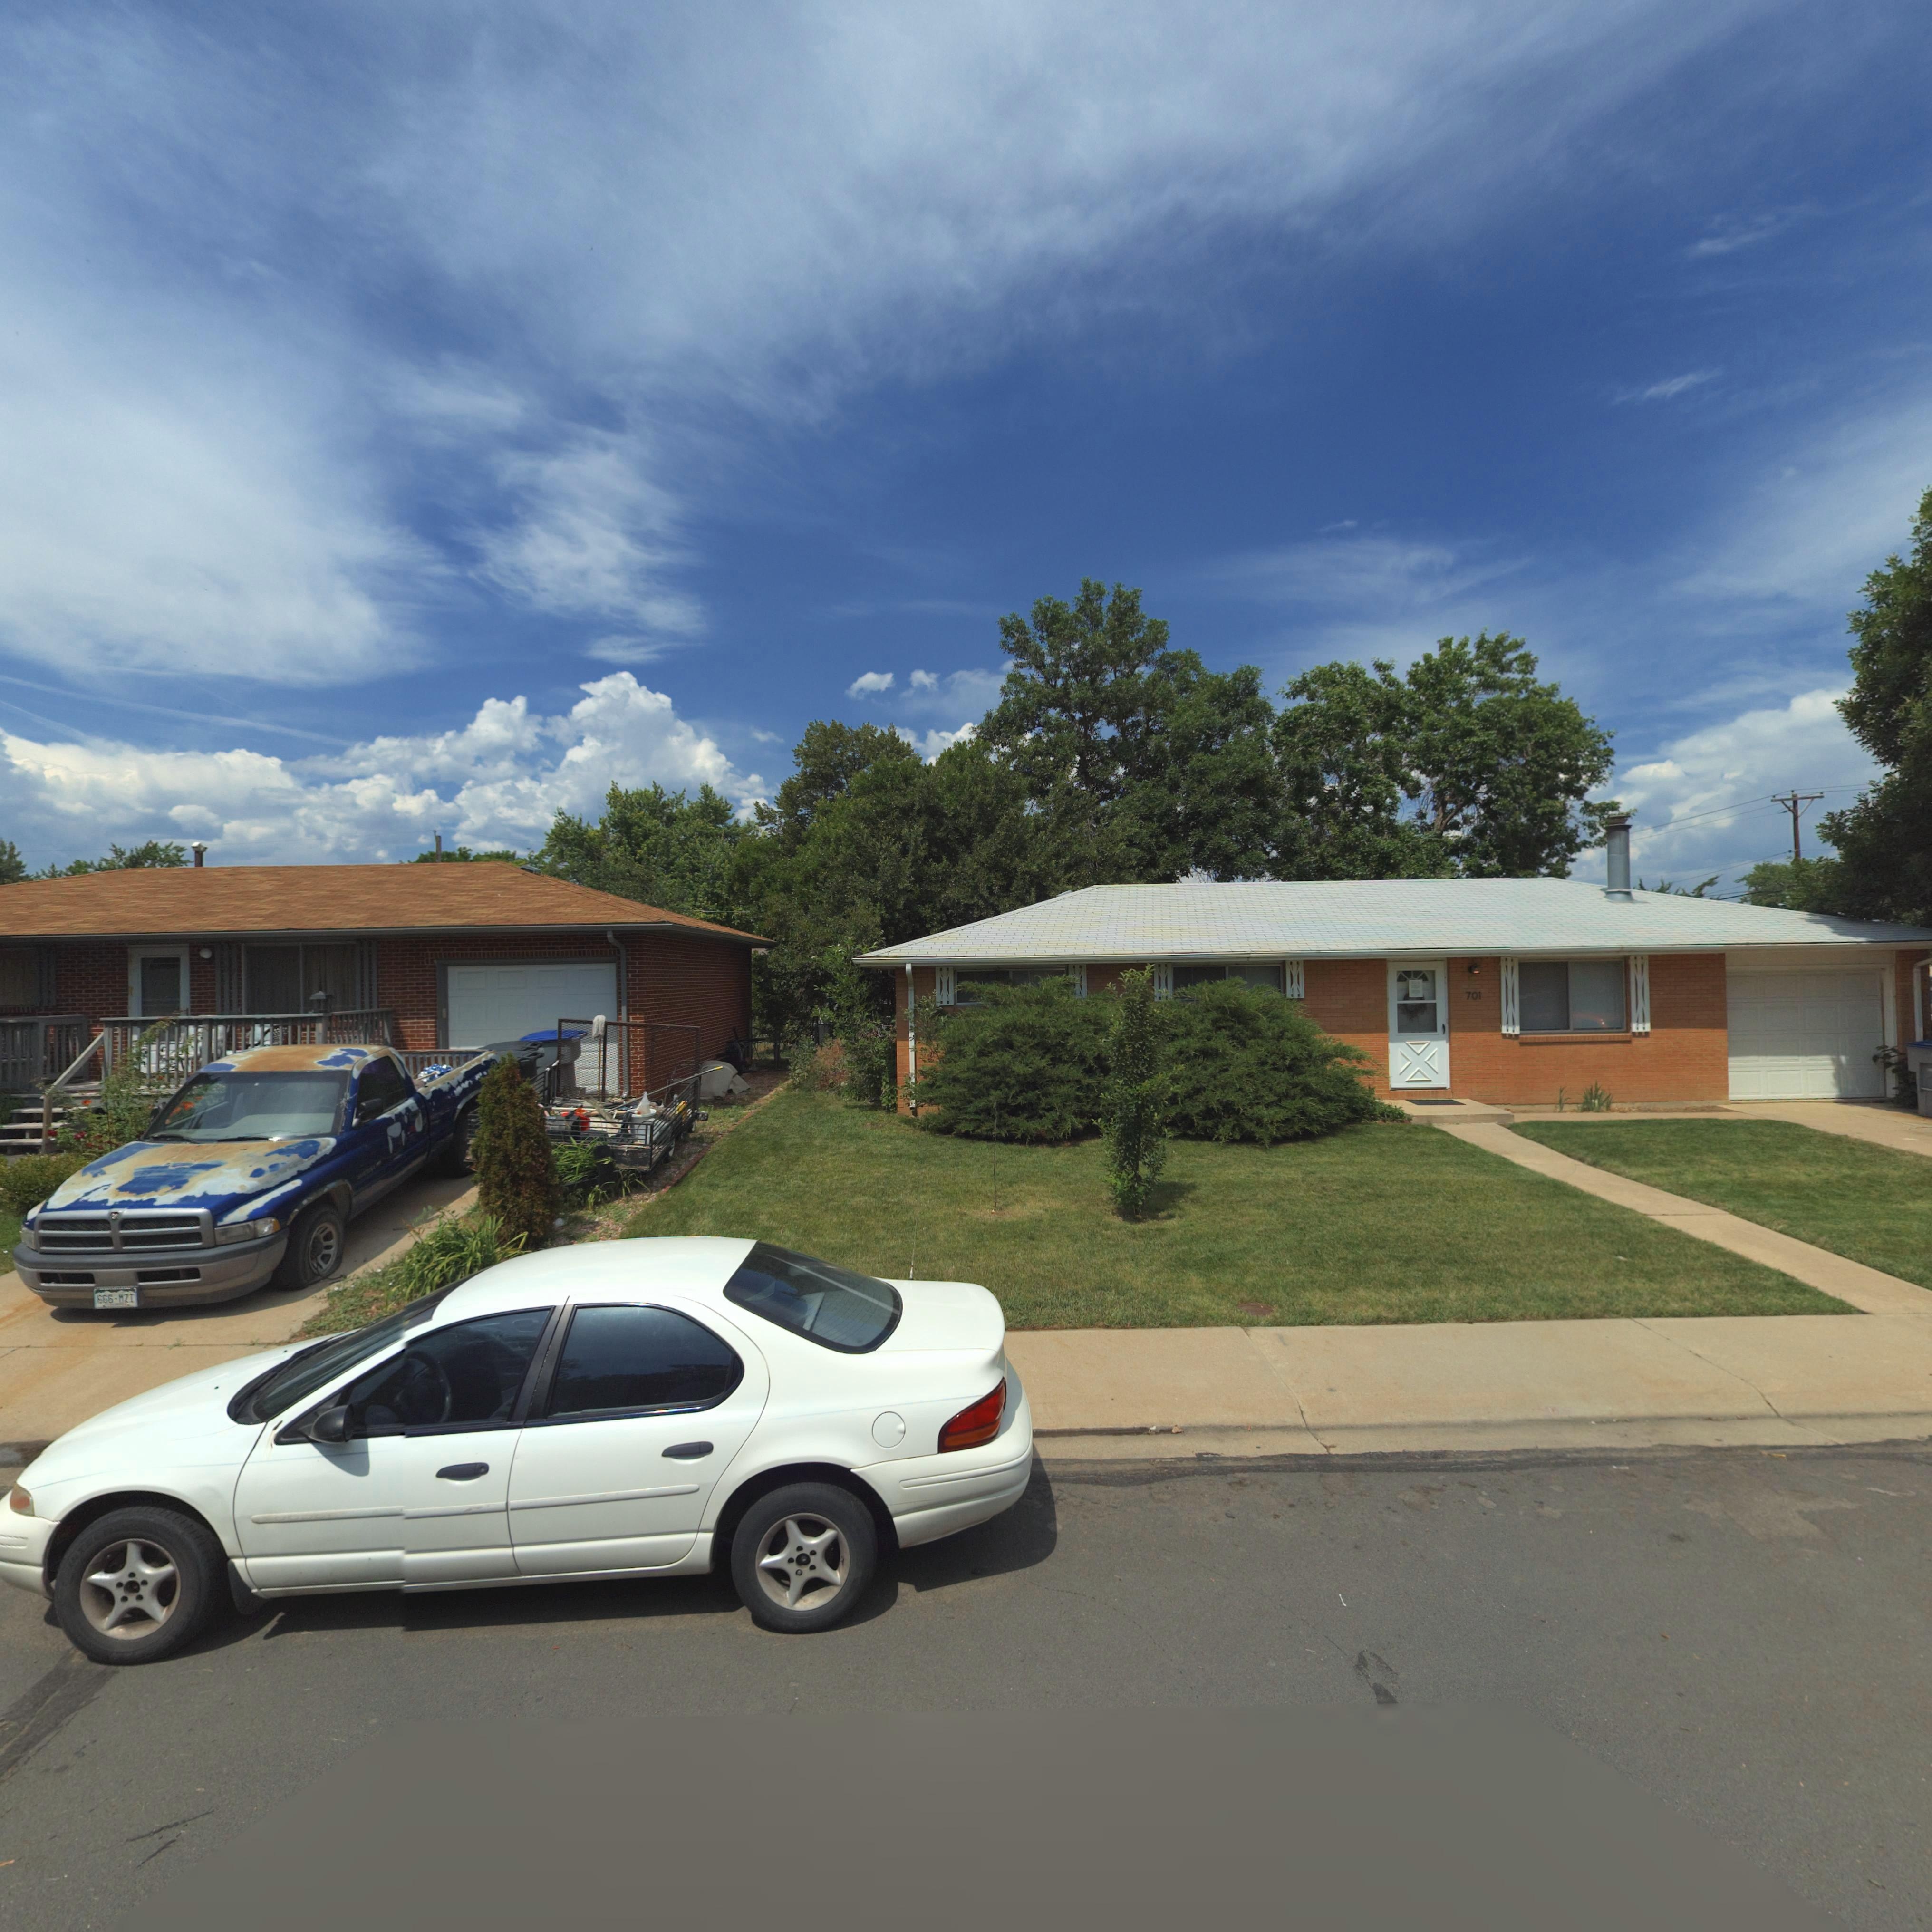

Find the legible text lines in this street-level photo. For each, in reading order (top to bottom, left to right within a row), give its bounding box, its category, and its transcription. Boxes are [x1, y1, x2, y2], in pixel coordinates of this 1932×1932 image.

[1465, 991, 1482, 1001] StreetNumber: 701